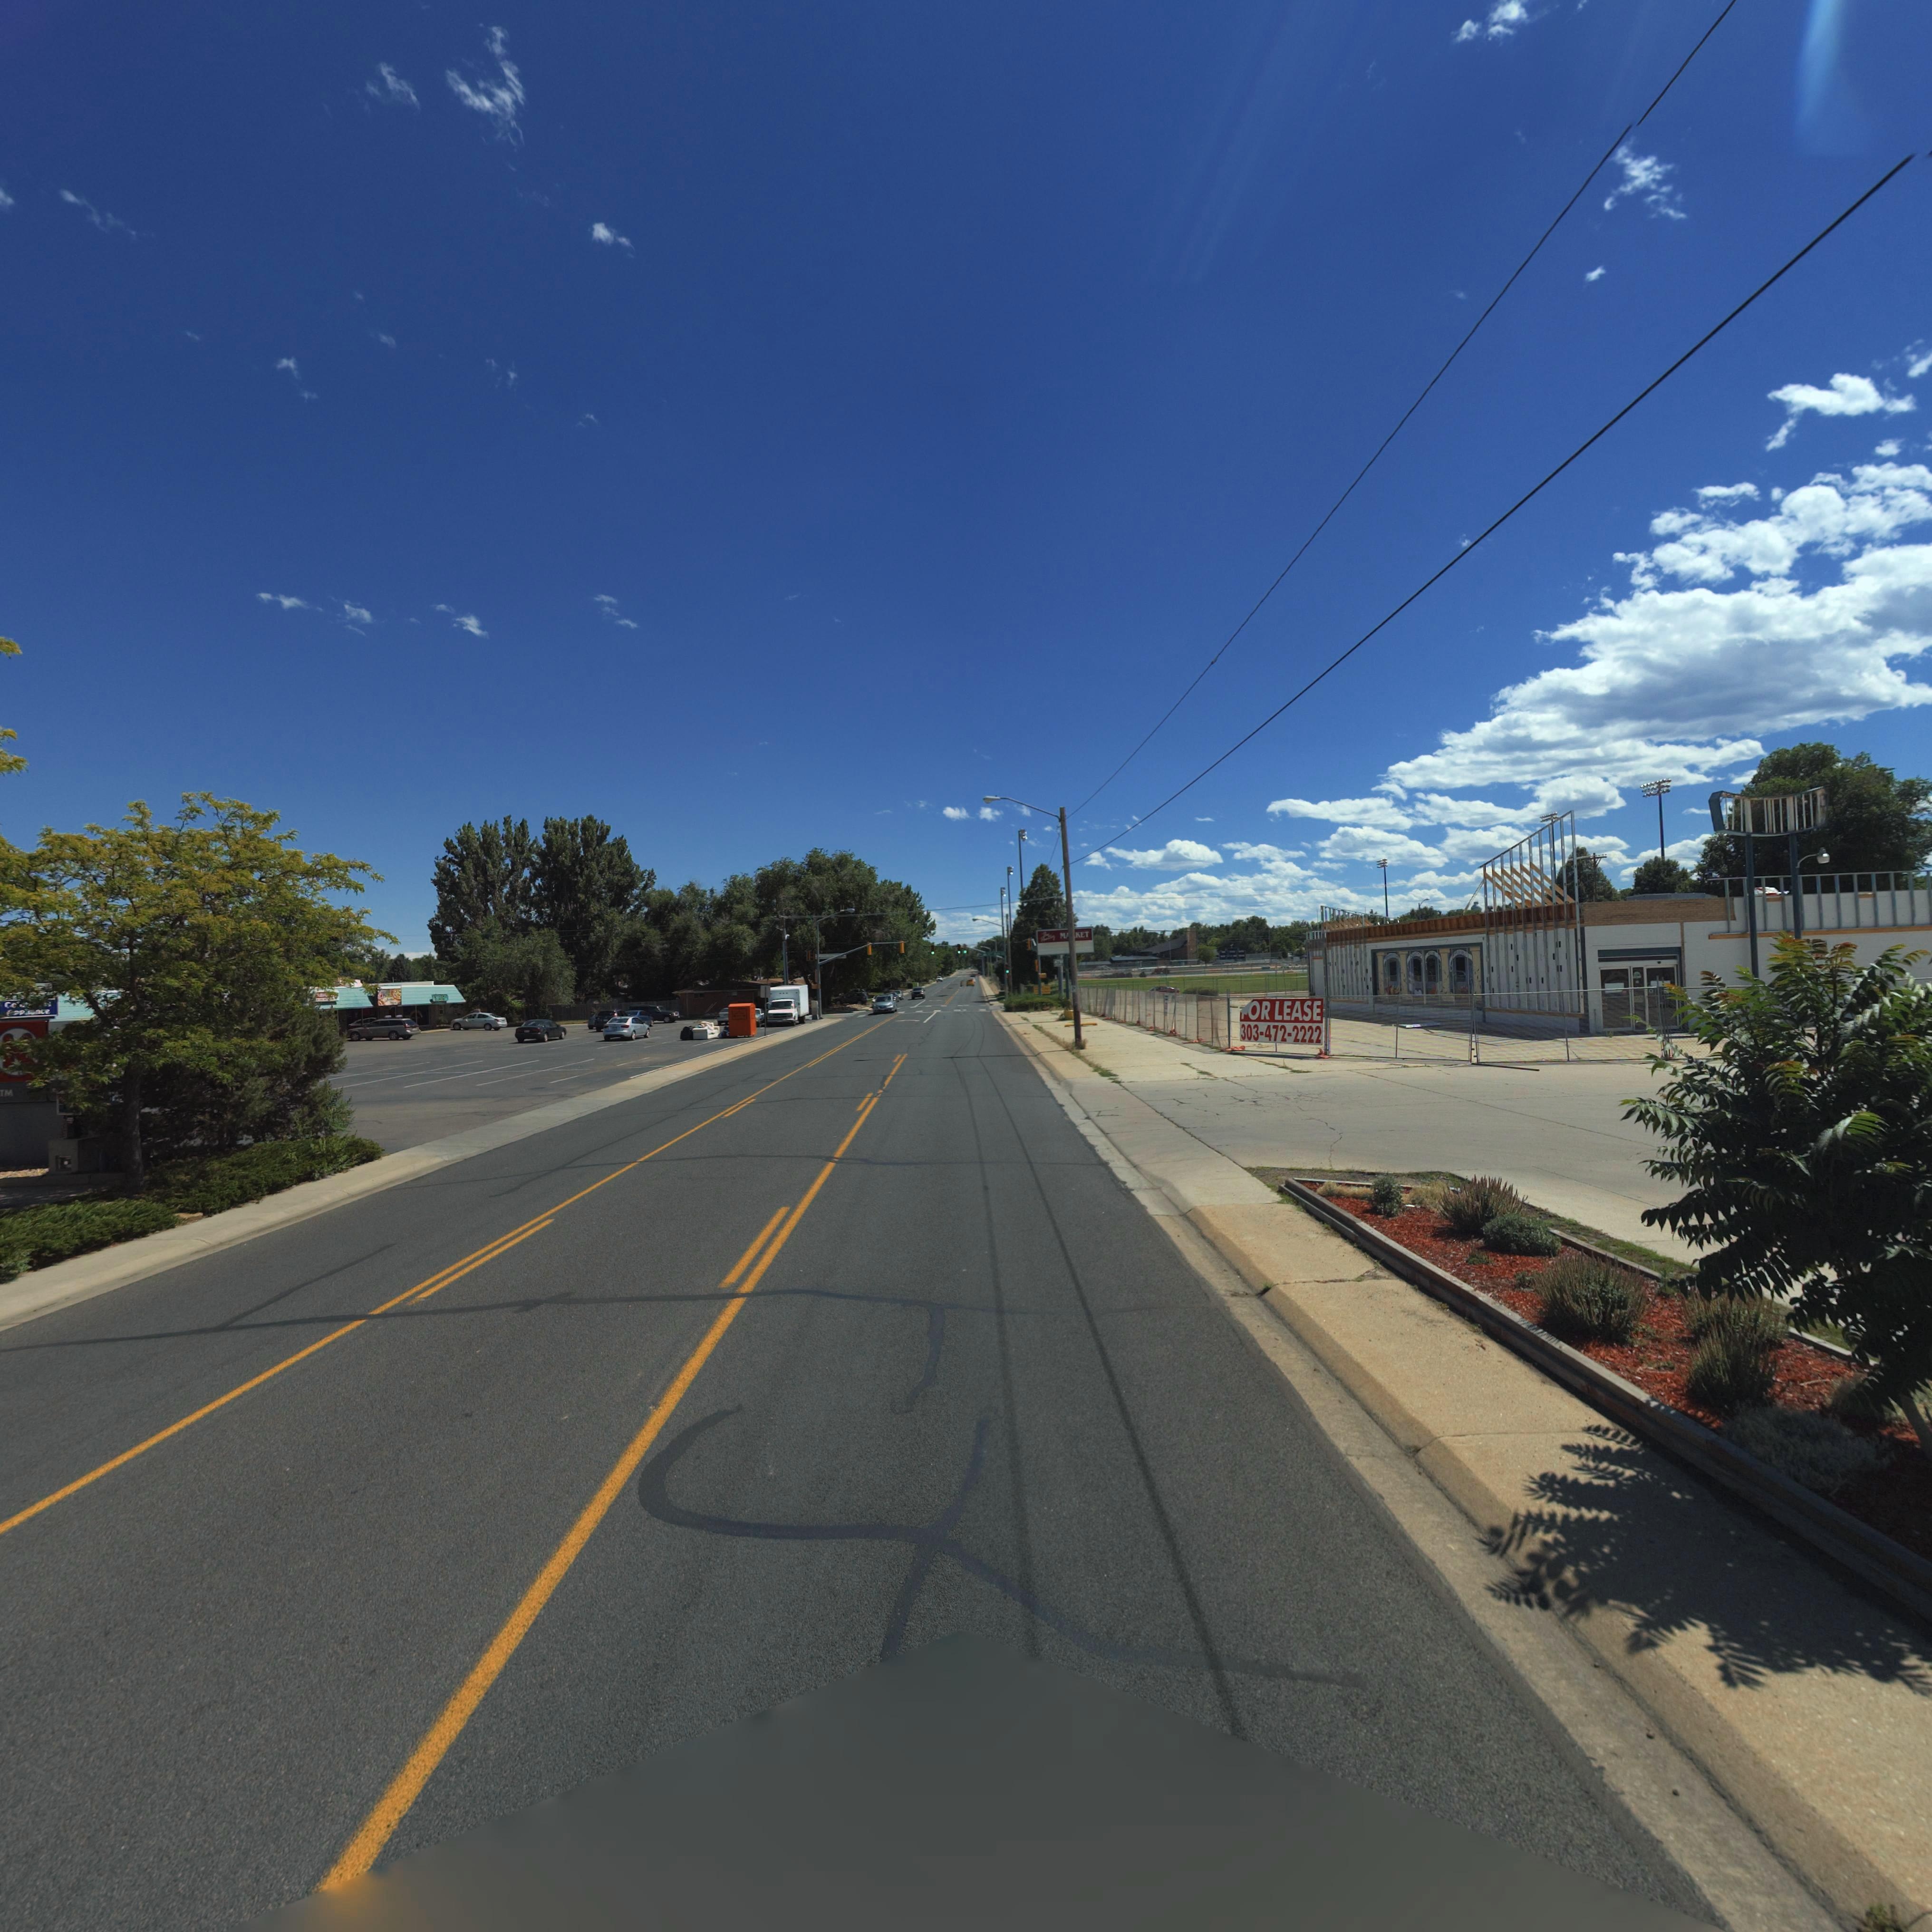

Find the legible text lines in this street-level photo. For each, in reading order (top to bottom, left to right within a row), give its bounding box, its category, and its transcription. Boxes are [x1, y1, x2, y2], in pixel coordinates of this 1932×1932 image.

[1060, 931, 1090, 939] BusinessName: M**KET